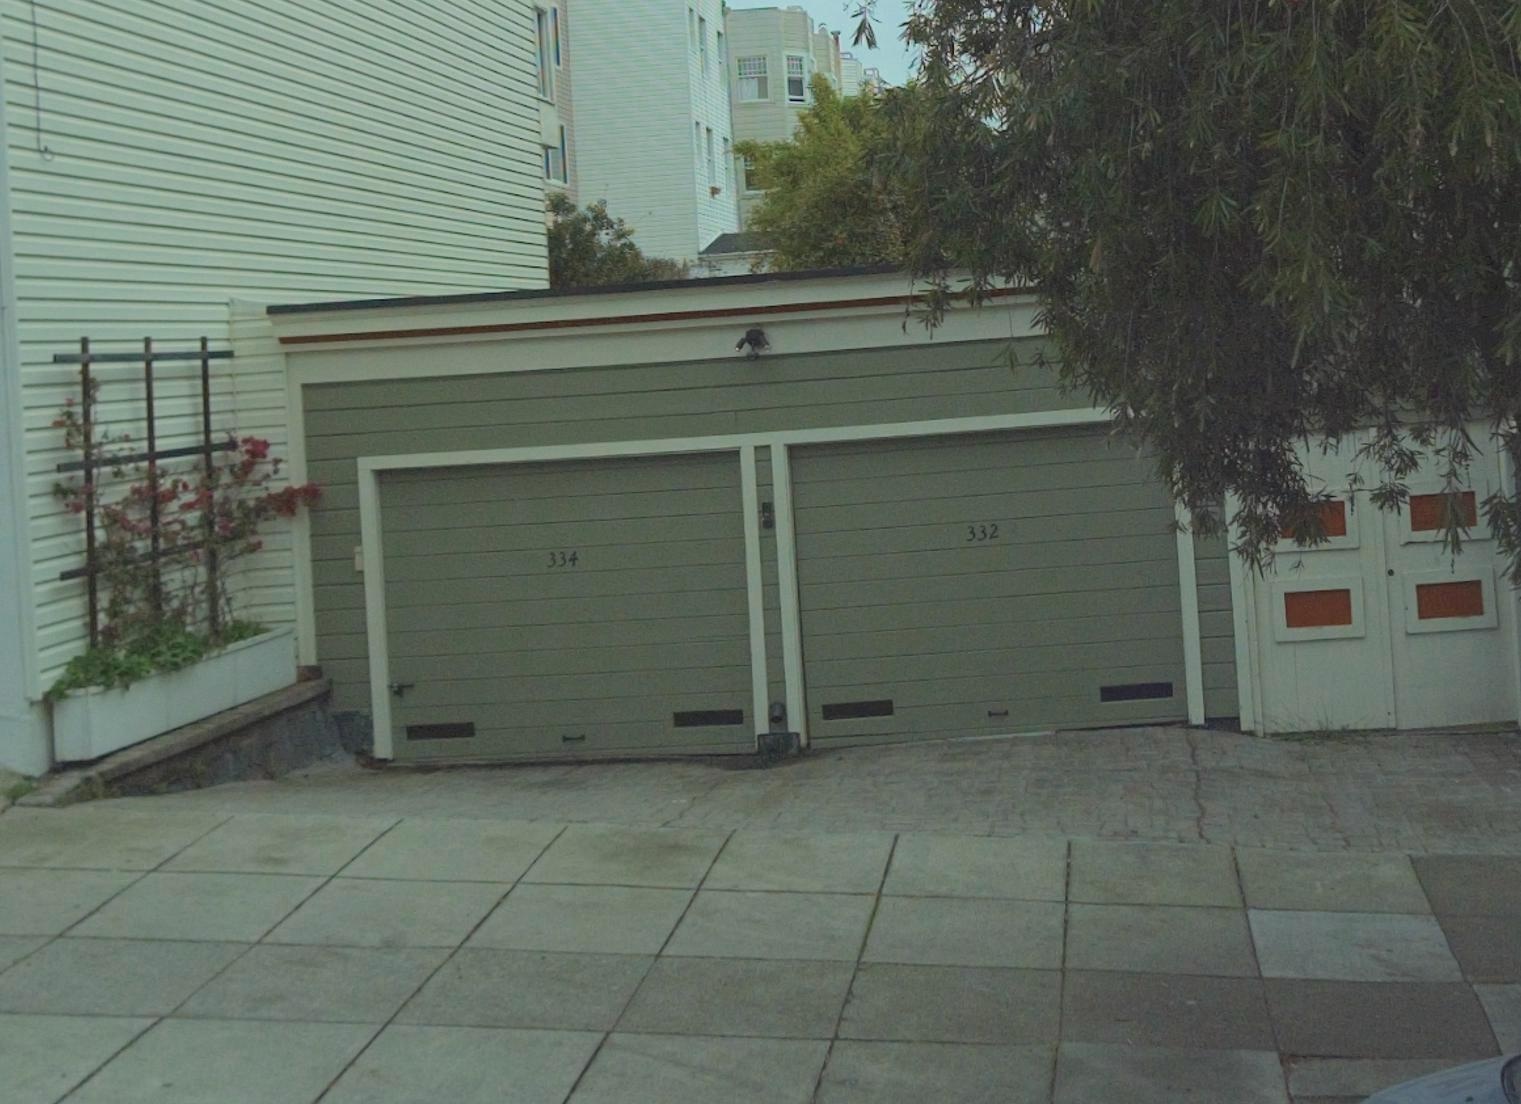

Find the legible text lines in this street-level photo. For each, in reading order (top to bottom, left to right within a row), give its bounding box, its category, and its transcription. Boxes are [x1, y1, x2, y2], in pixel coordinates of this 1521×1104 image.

[964, 520, 1001, 545] StreetNumber: 332
[544, 548, 580, 570] StreetNumber: 334